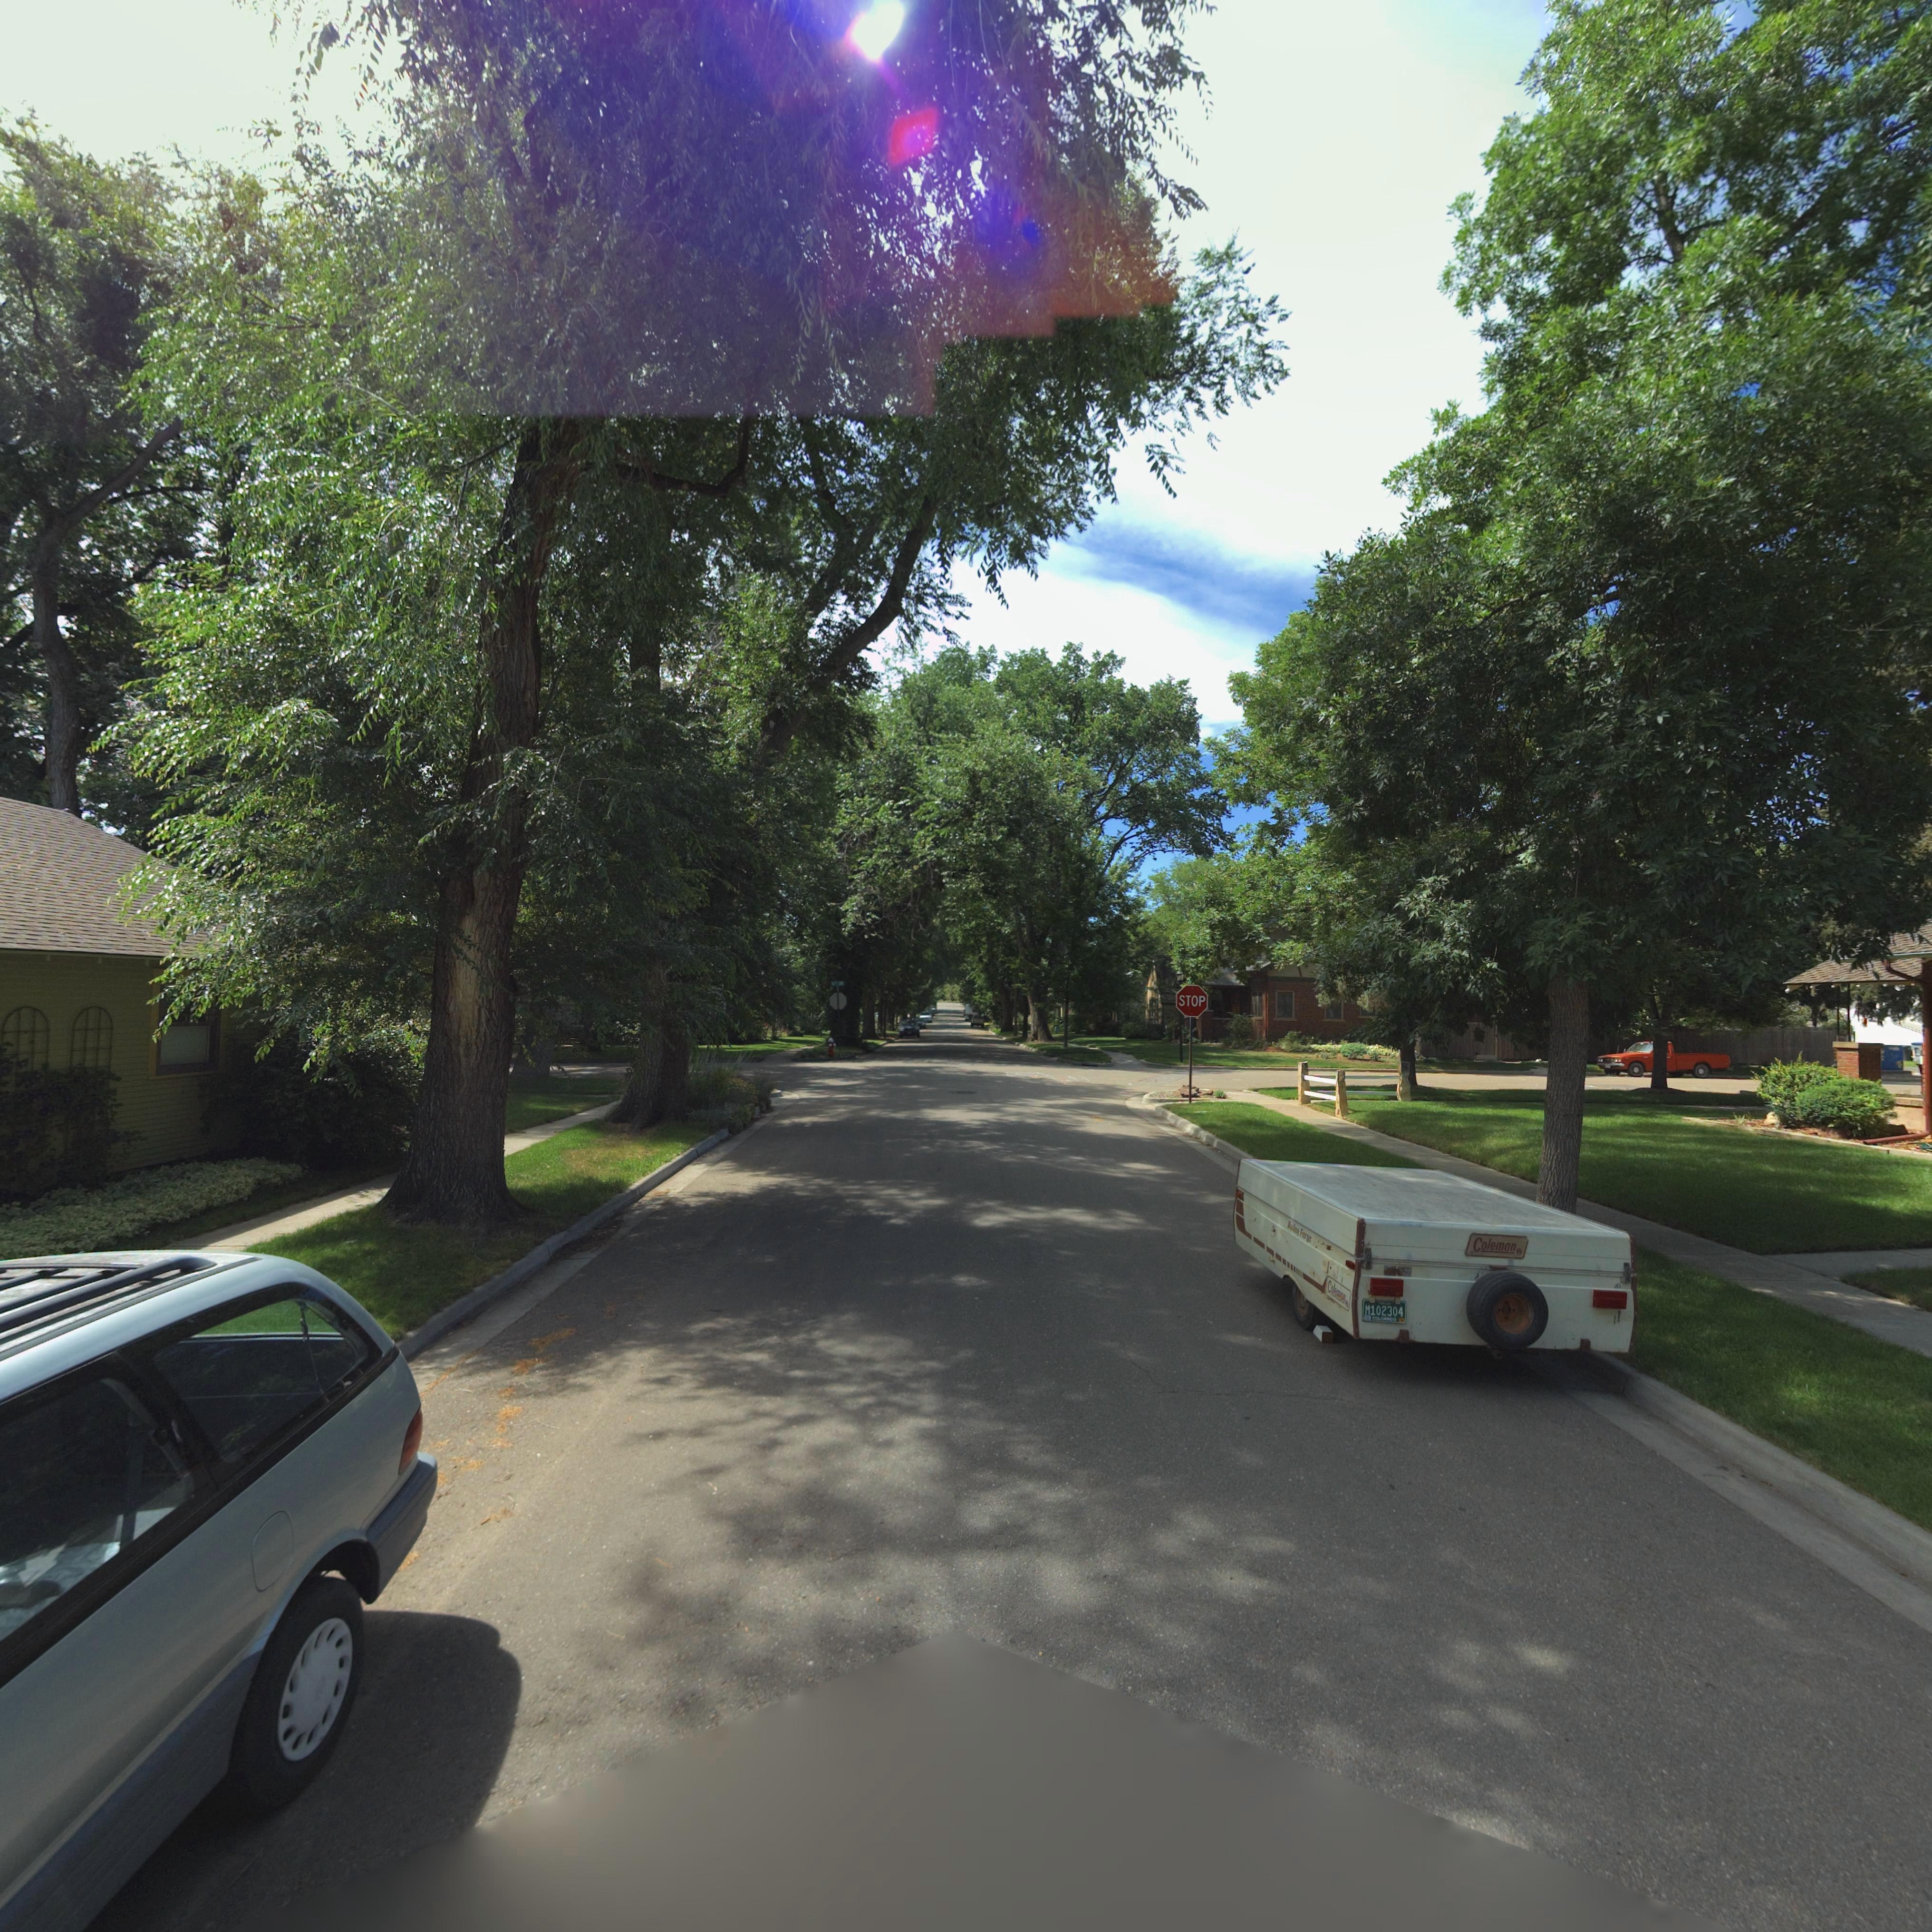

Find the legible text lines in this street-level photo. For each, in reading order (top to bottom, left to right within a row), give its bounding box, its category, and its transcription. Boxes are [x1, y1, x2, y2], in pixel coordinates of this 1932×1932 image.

[831, 981, 844, 985] StreetName: 6** AV